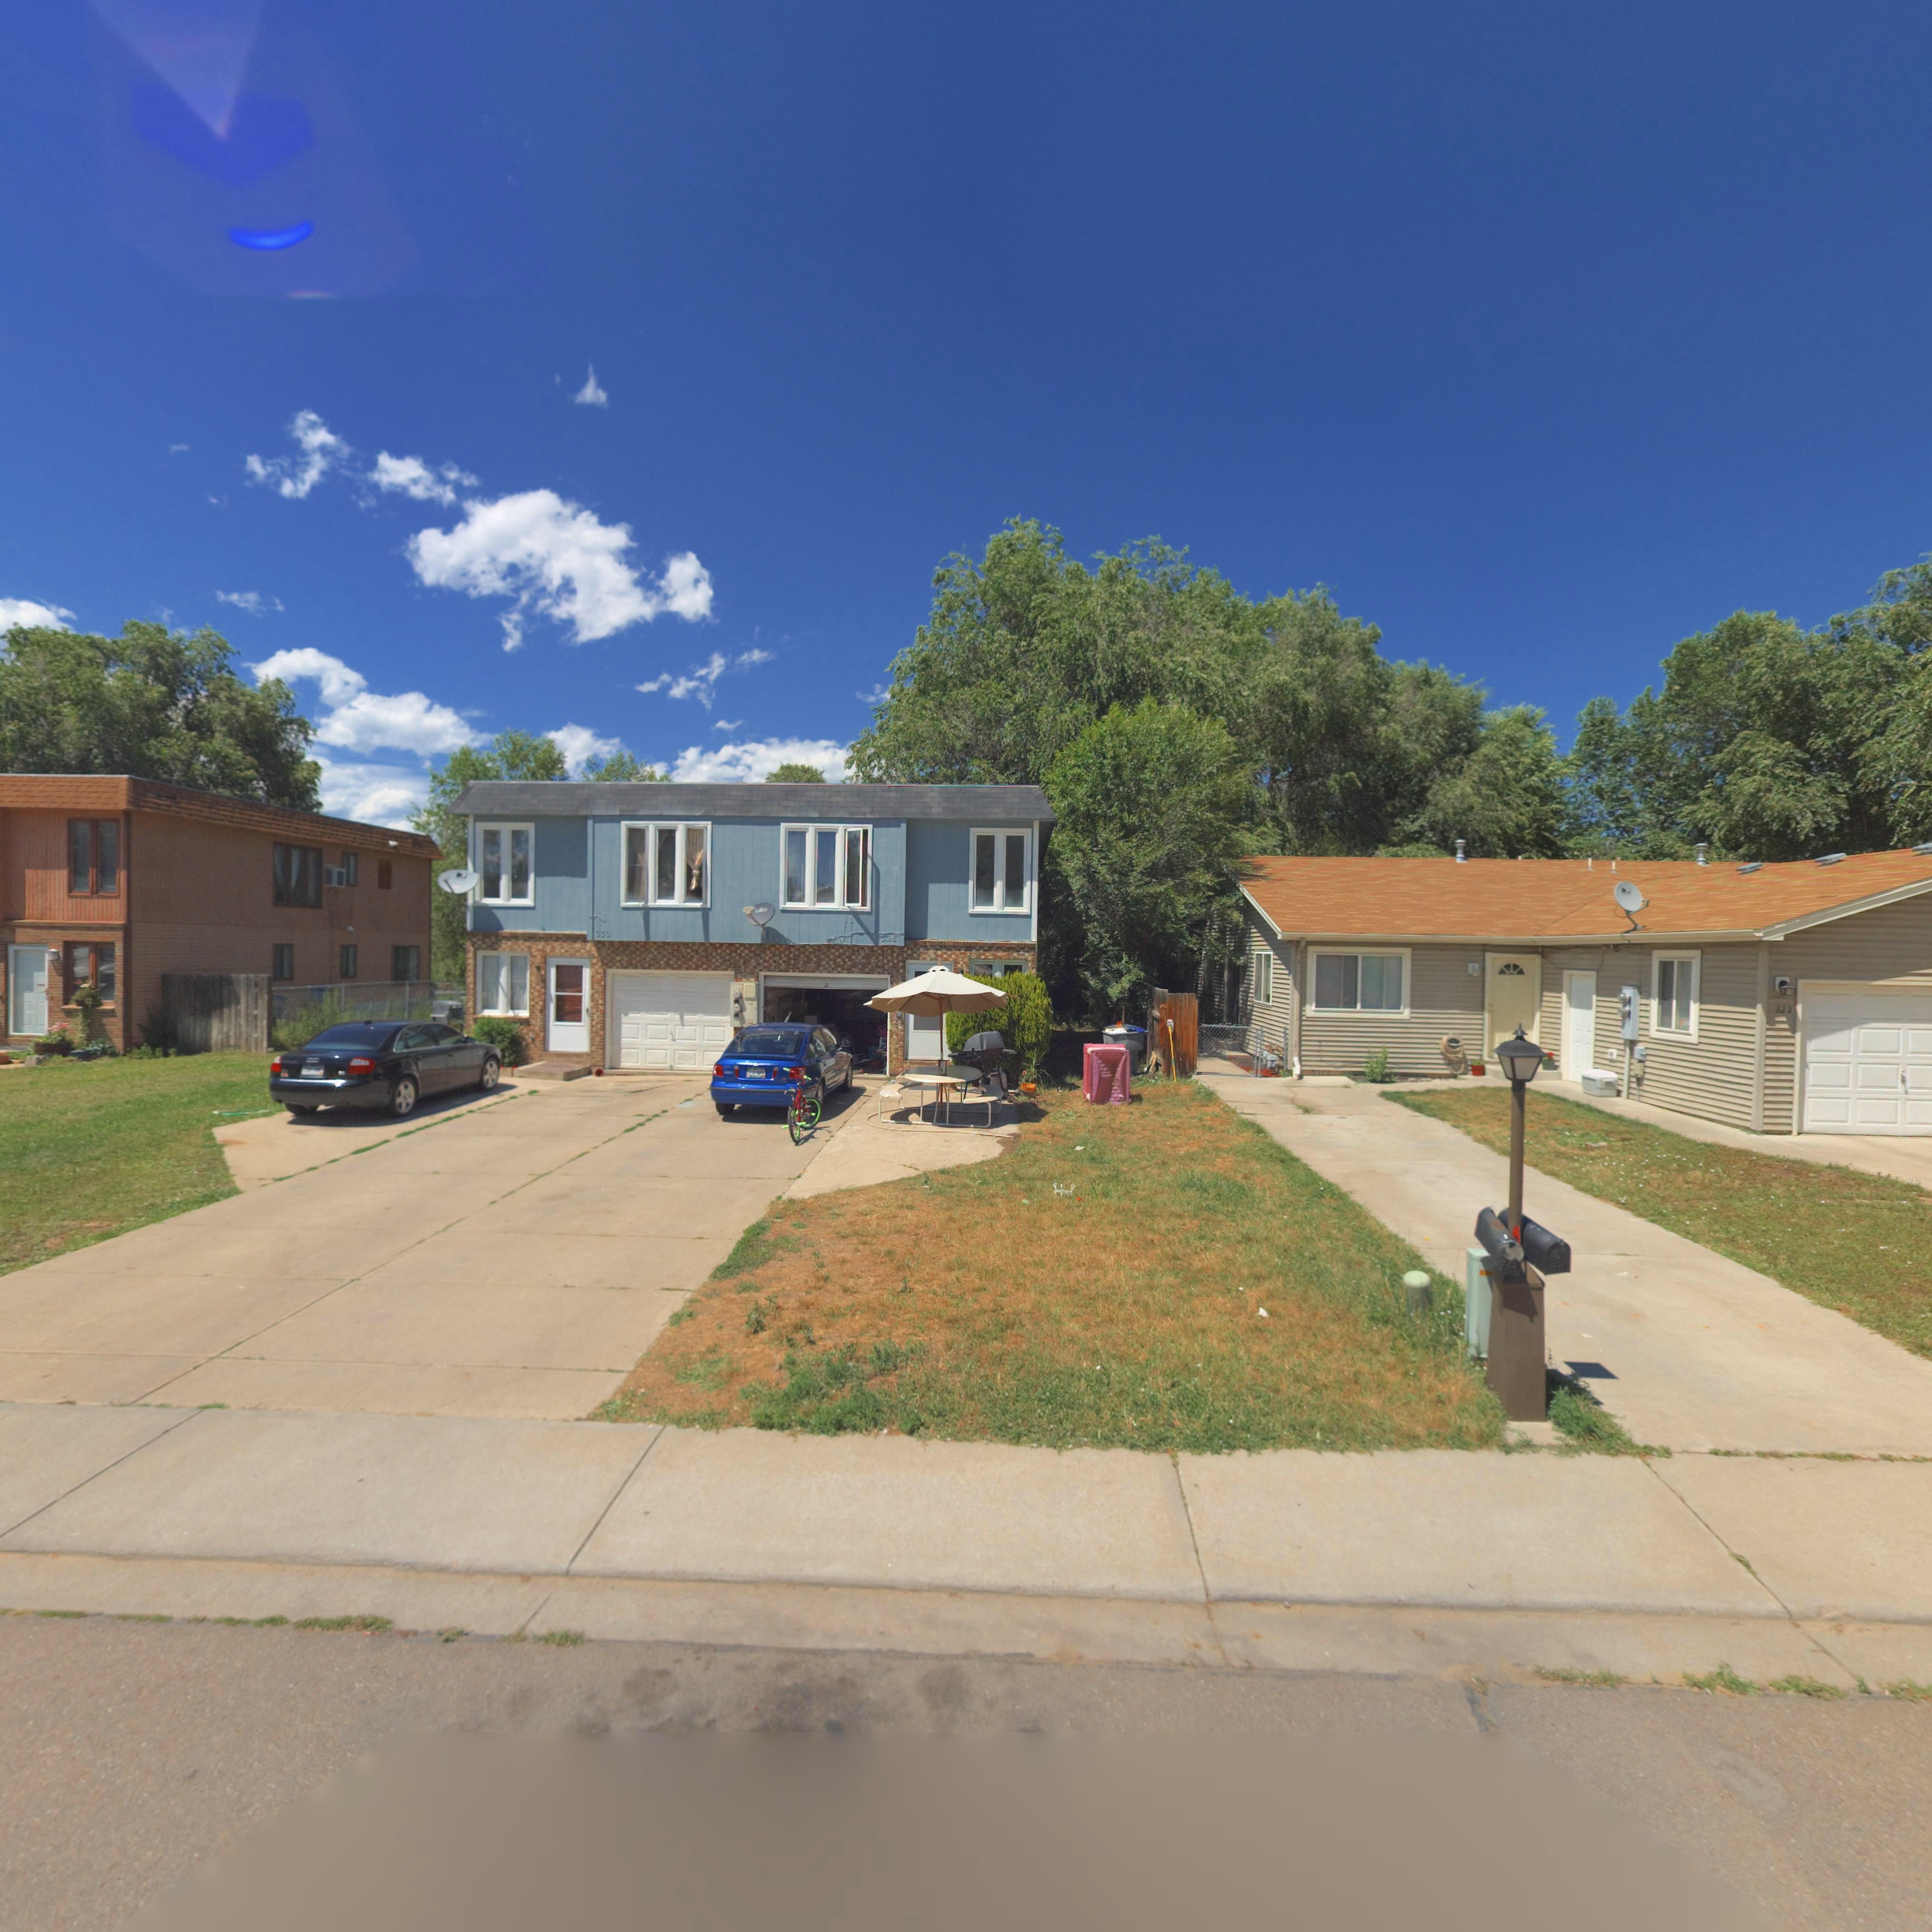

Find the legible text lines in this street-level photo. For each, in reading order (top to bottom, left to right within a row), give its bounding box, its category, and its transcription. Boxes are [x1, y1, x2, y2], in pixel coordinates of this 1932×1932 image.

[594, 929, 611, 938] StreetNumber: 330
[880, 934, 896, 942] StreetNumber: *28
[1775, 1005, 1792, 1013] StreetNumber: 322
[1500, 1258, 1517, 1269] StreetNumber: 322